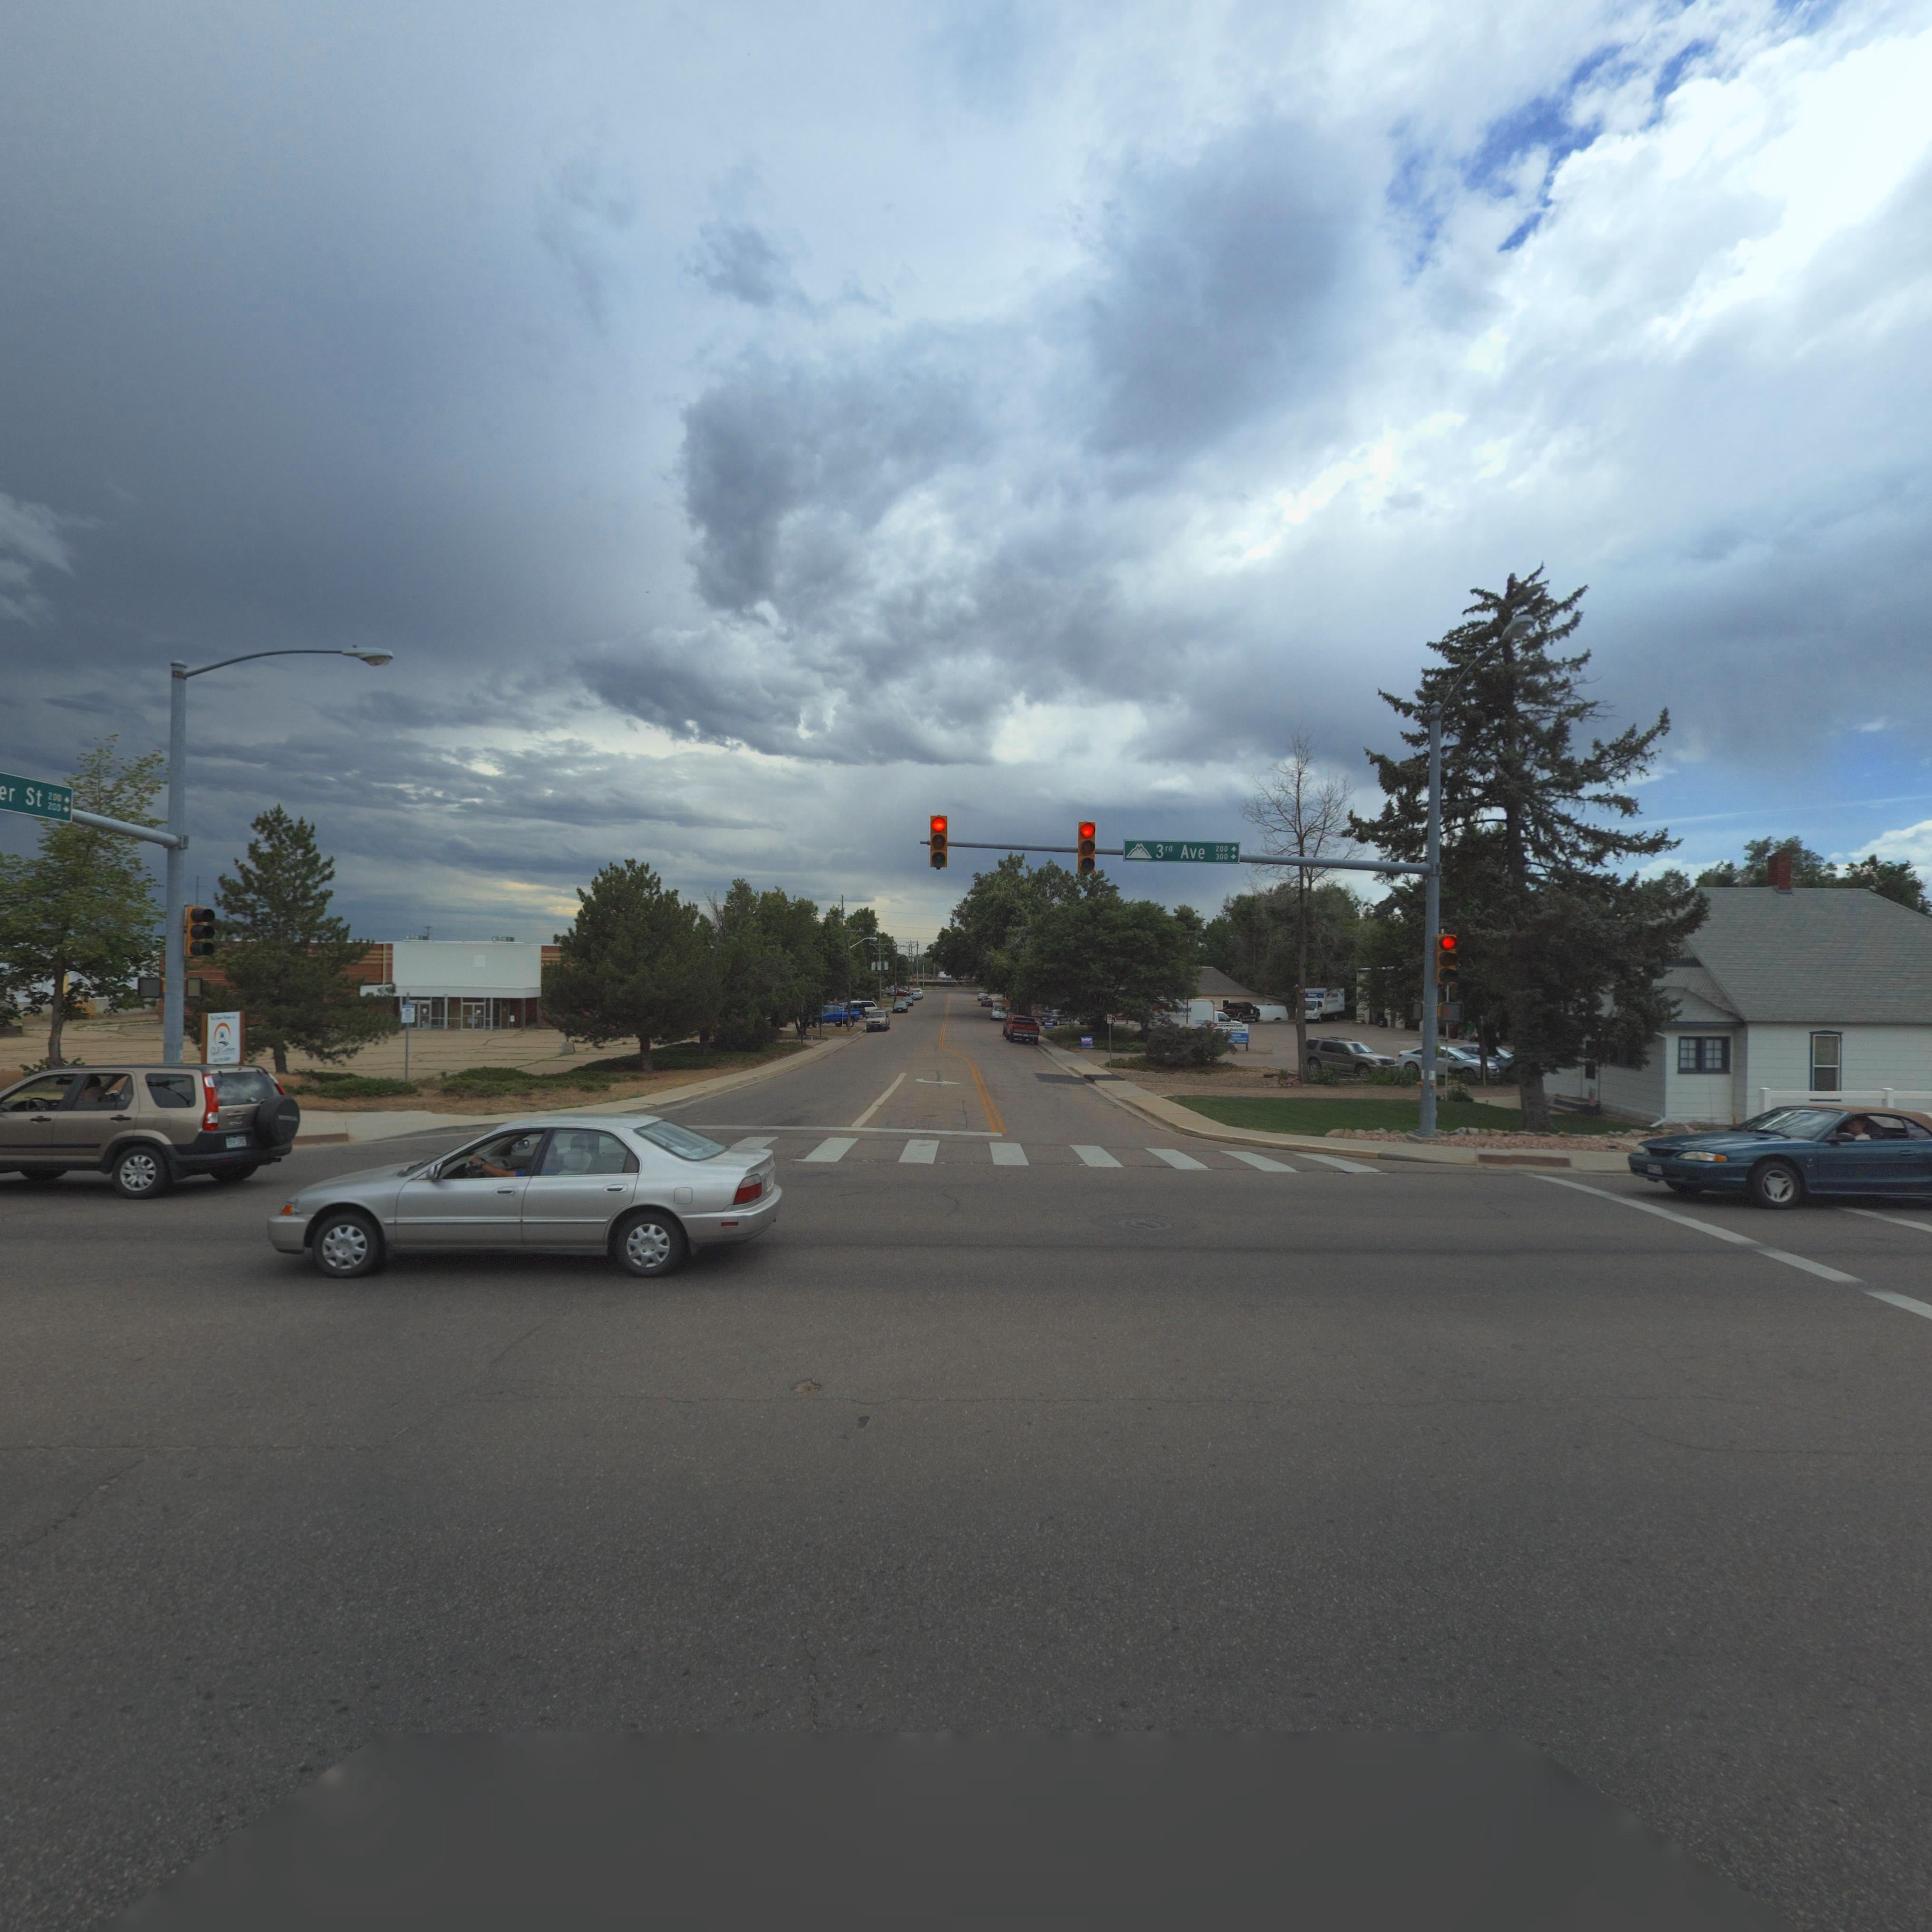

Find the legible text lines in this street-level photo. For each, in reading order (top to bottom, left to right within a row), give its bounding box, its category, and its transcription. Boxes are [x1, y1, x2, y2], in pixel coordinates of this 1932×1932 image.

[7, 786, 43, 807] StreetName: r St
[48, 792, 62, 802] StreetNumberRange: 200
[47, 802, 70, 812] StreetNumberRange: 200->
[1155, 844, 1205, 859] StreetName: 3rd Ave
[1216, 845, 1228, 851] StreetName: 200
[1215, 853, 1236, 860] StreetNumber: 300->
[209, 1045, 235, 1054] BusinessName: OUR C*****